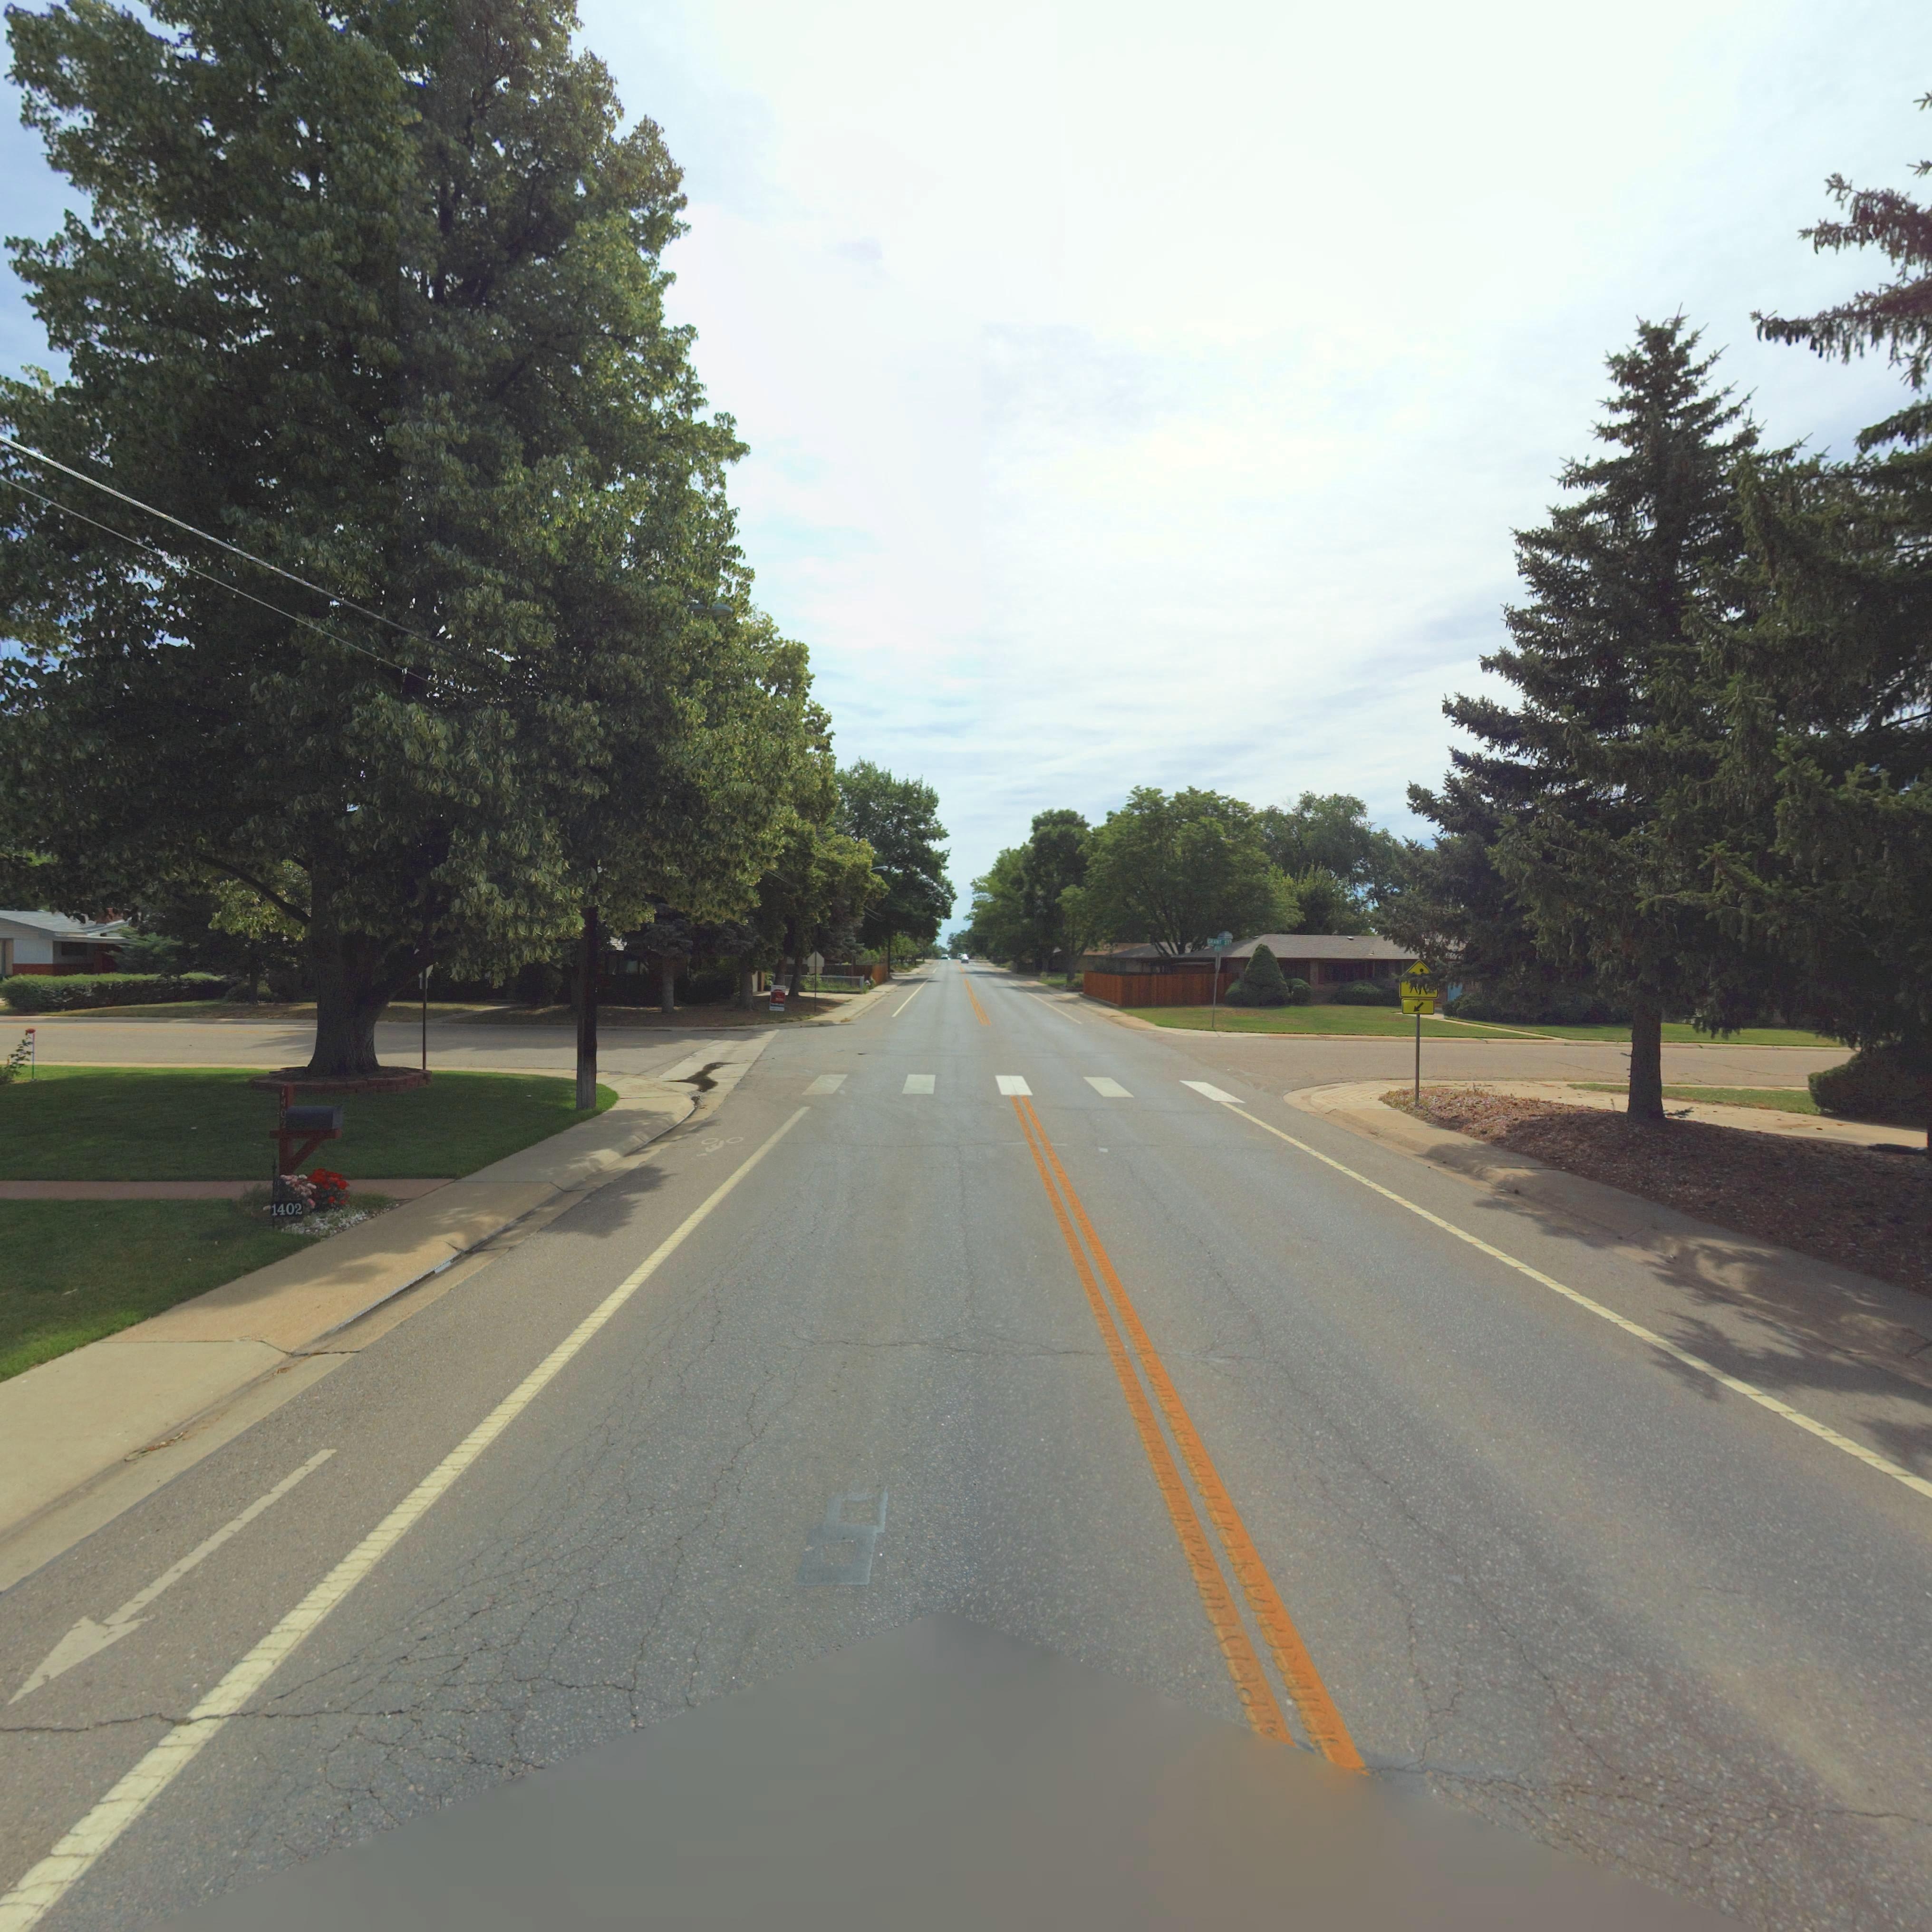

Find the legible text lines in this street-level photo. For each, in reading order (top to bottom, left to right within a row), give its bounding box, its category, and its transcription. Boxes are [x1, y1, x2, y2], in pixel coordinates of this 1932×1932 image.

[1207, 939, 1229, 945] StreetName: GRANT ST
[280, 1086, 286, 1129] StreetNumber: 1402
[271, 1203, 302, 1216] StreetNumber: 1402